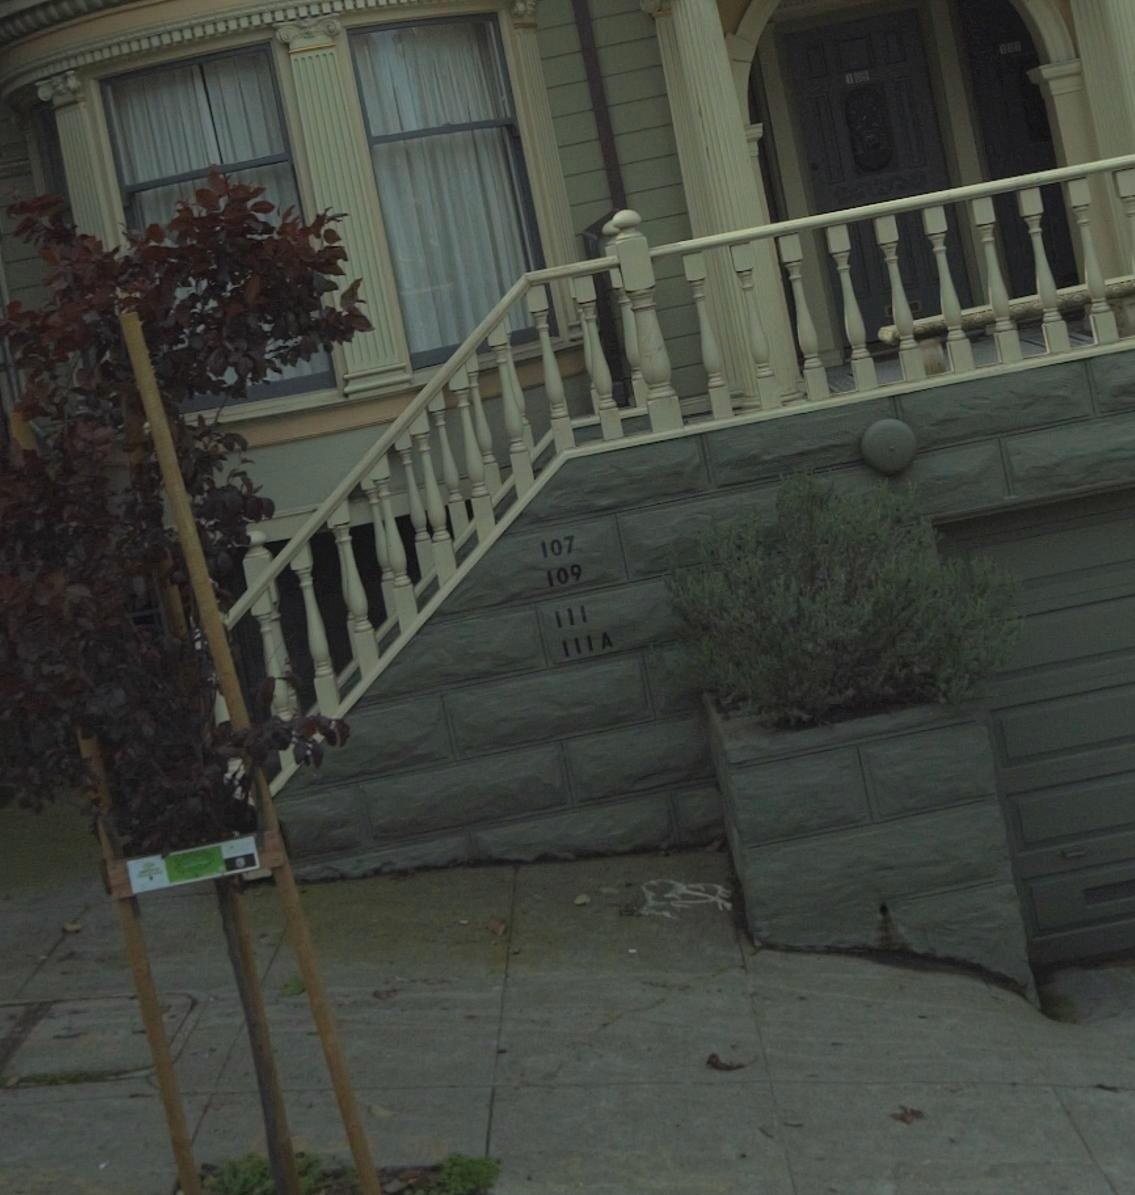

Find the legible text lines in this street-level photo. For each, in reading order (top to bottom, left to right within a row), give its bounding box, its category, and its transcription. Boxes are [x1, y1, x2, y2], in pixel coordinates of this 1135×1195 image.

[536, 530, 580, 564] StreetNumber: 107
[542, 560, 584, 591] StreetNumber: 109
[550, 600, 592, 633] StreetNumber: 111
[557, 627, 617, 662] StreetNumber: 111 A